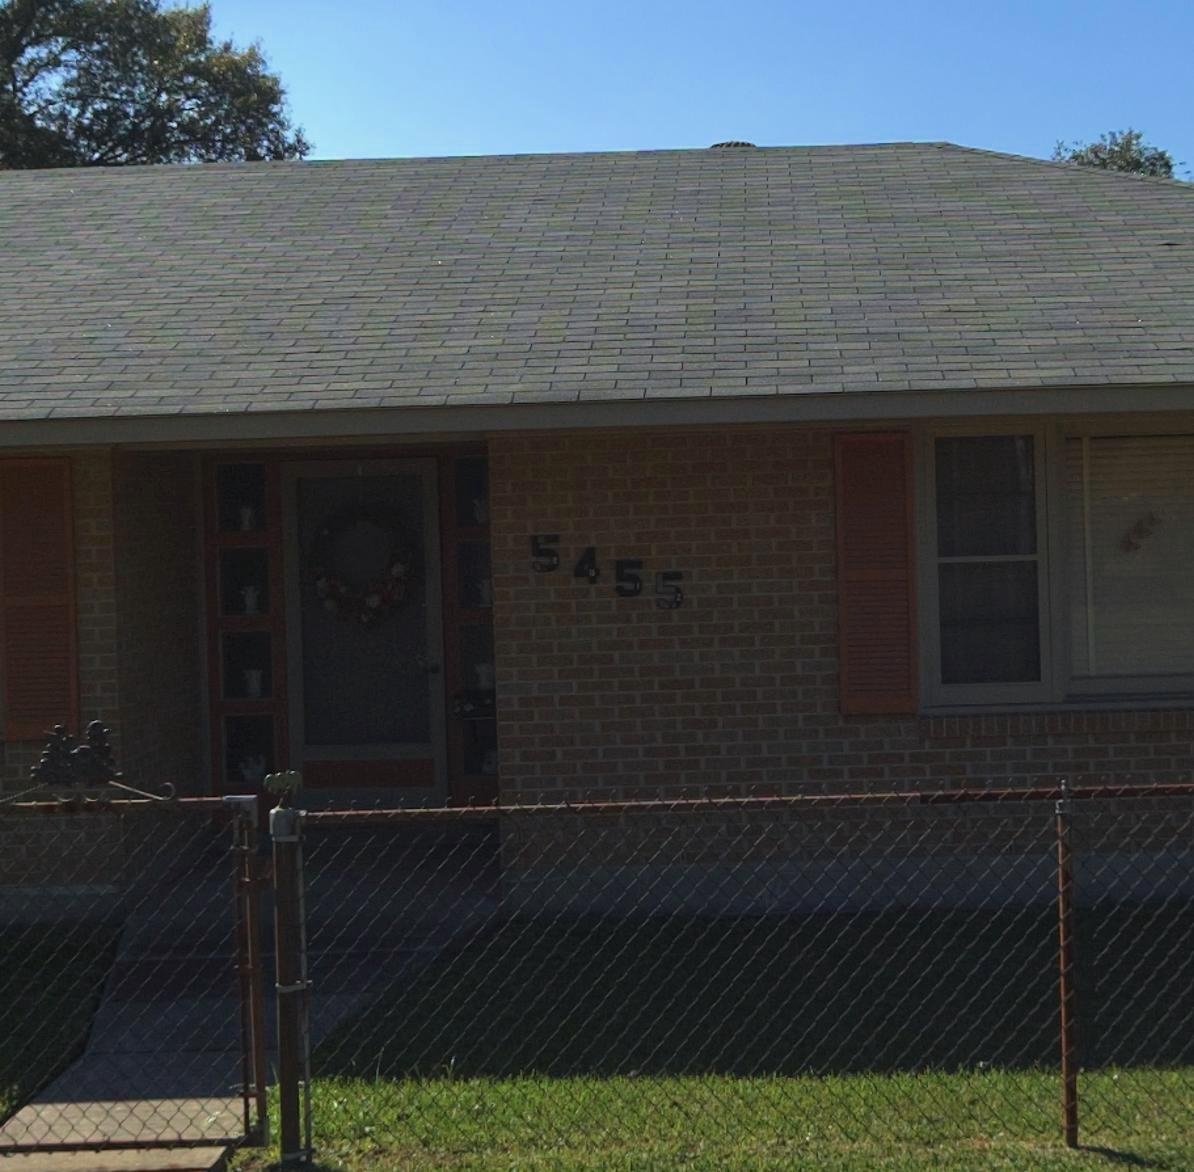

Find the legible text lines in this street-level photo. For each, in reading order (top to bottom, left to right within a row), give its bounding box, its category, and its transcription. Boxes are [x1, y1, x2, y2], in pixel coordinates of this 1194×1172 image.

[529, 532, 685, 612] StreetNumber: 5455